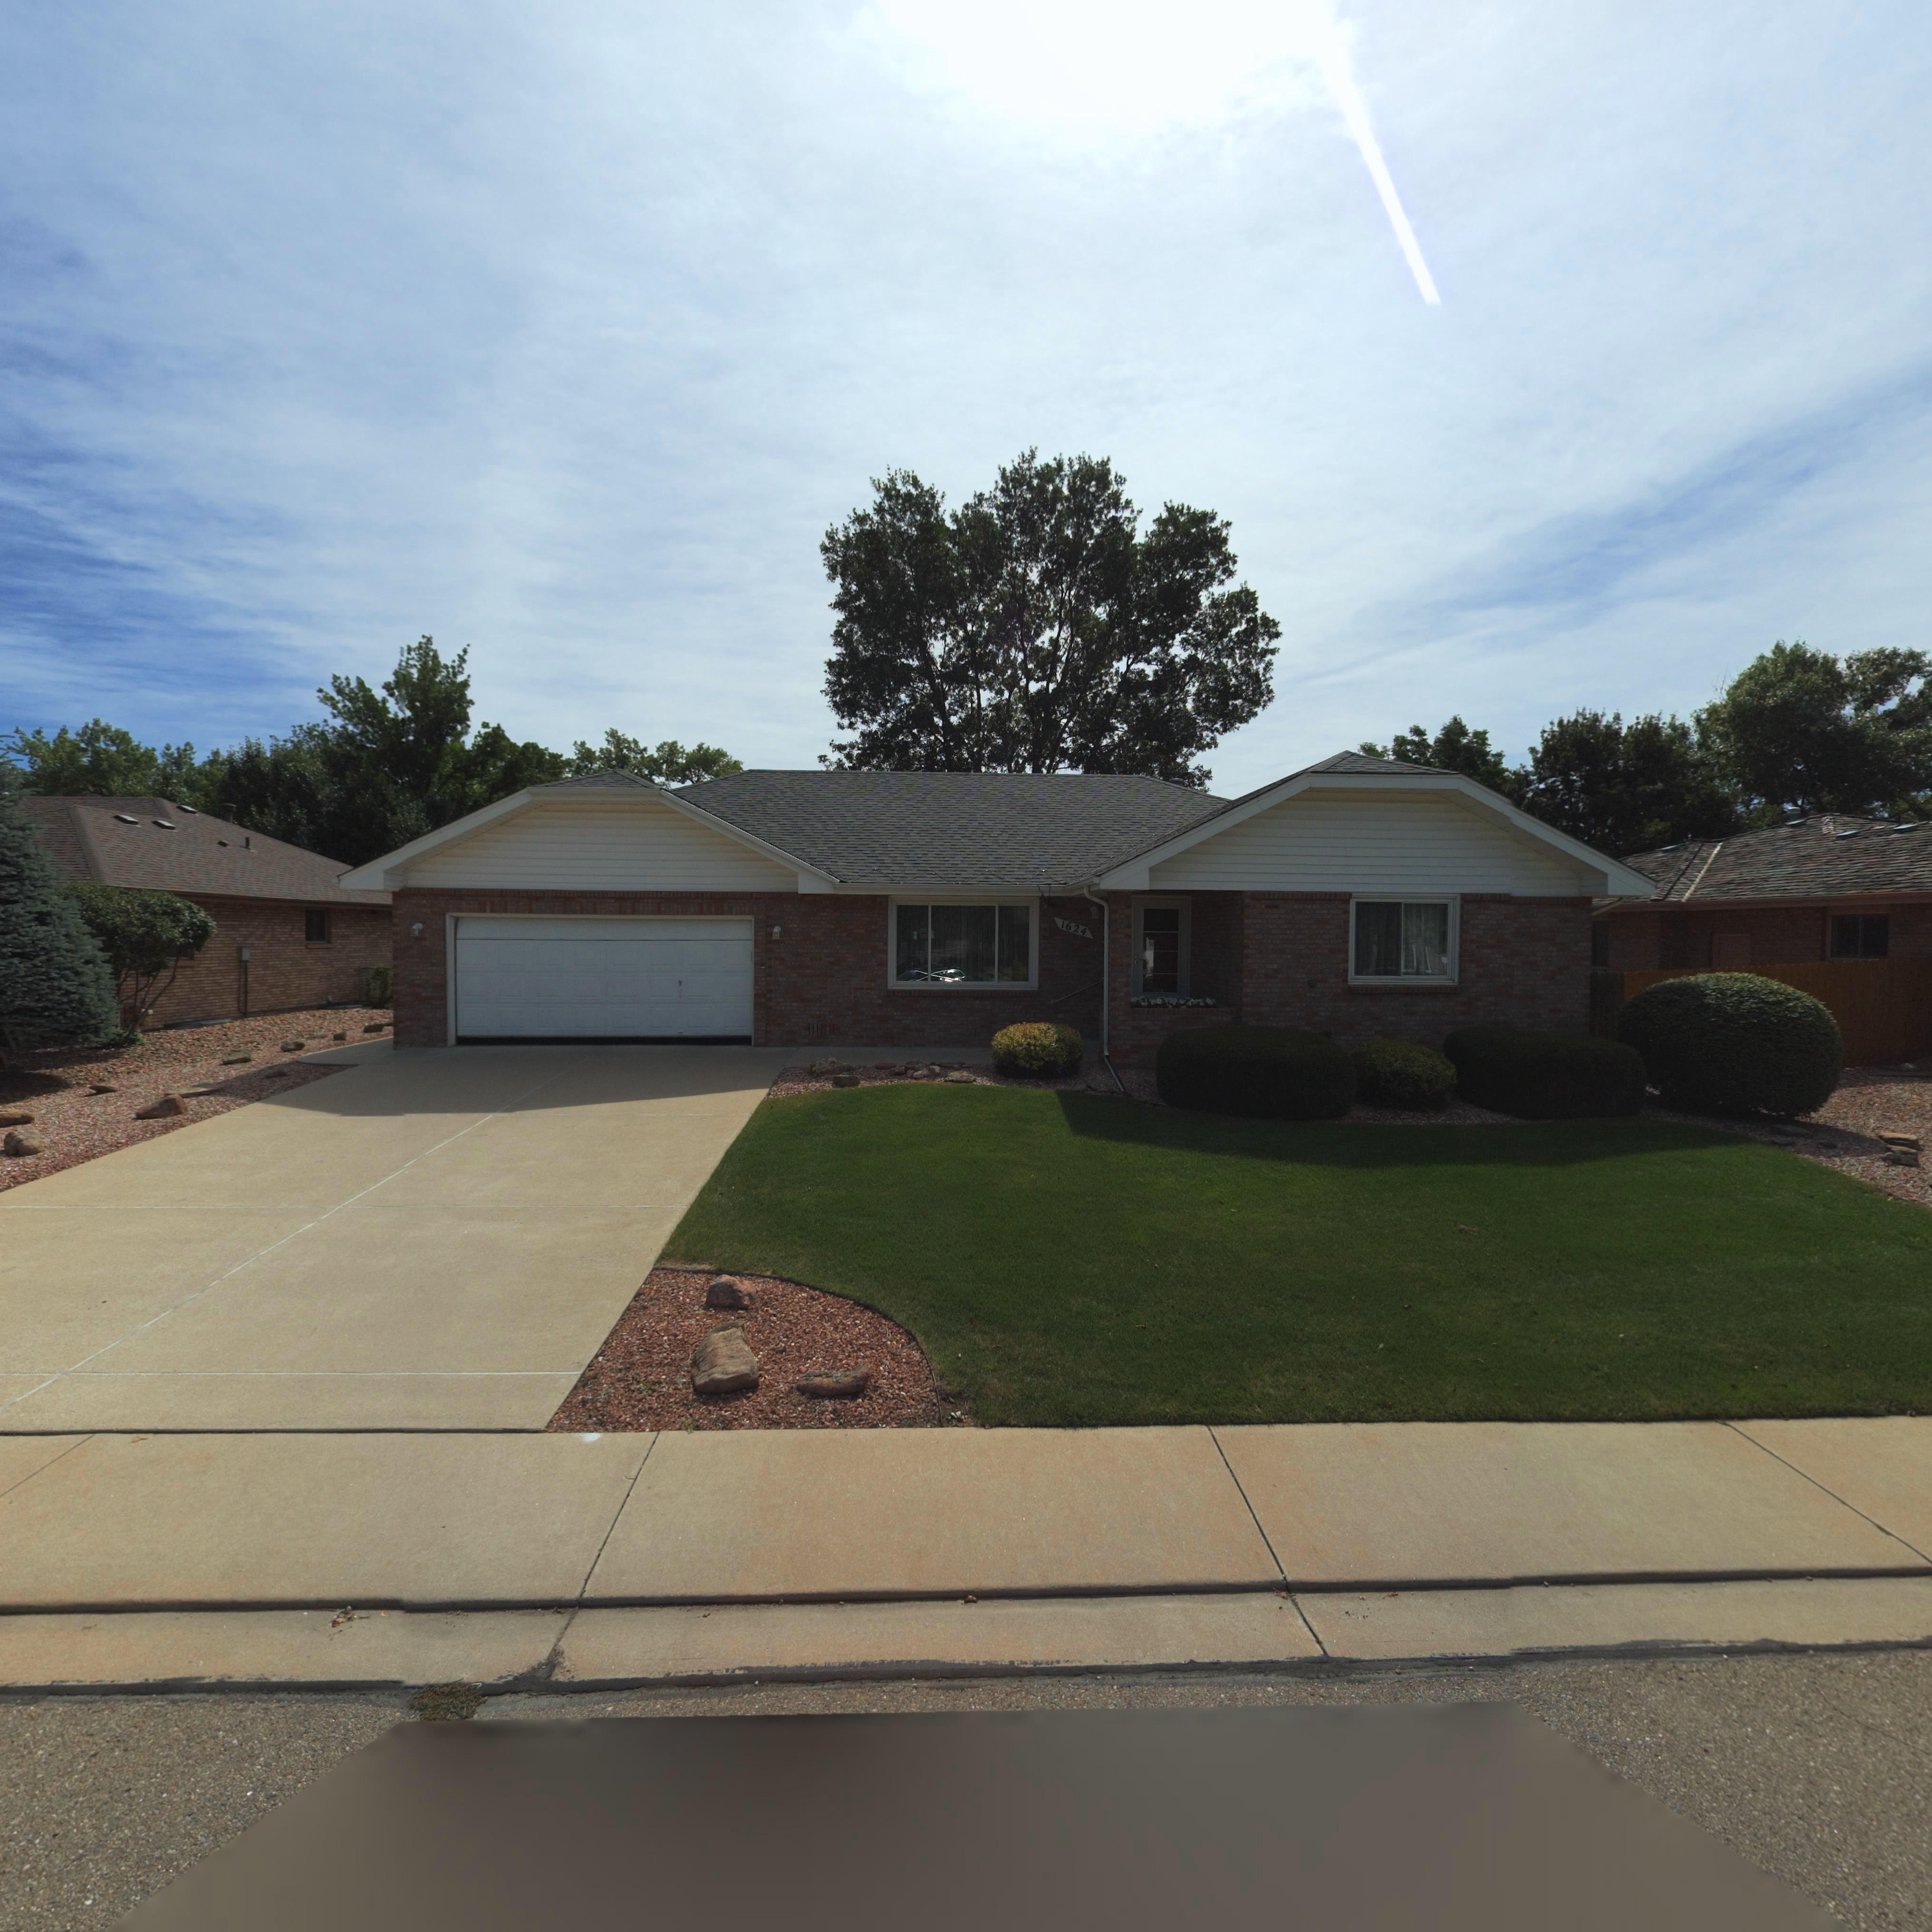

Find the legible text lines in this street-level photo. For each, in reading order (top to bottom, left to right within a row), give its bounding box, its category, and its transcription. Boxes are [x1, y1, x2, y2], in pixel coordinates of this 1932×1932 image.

[1060, 919, 1088, 937] StreetNumber: 1624